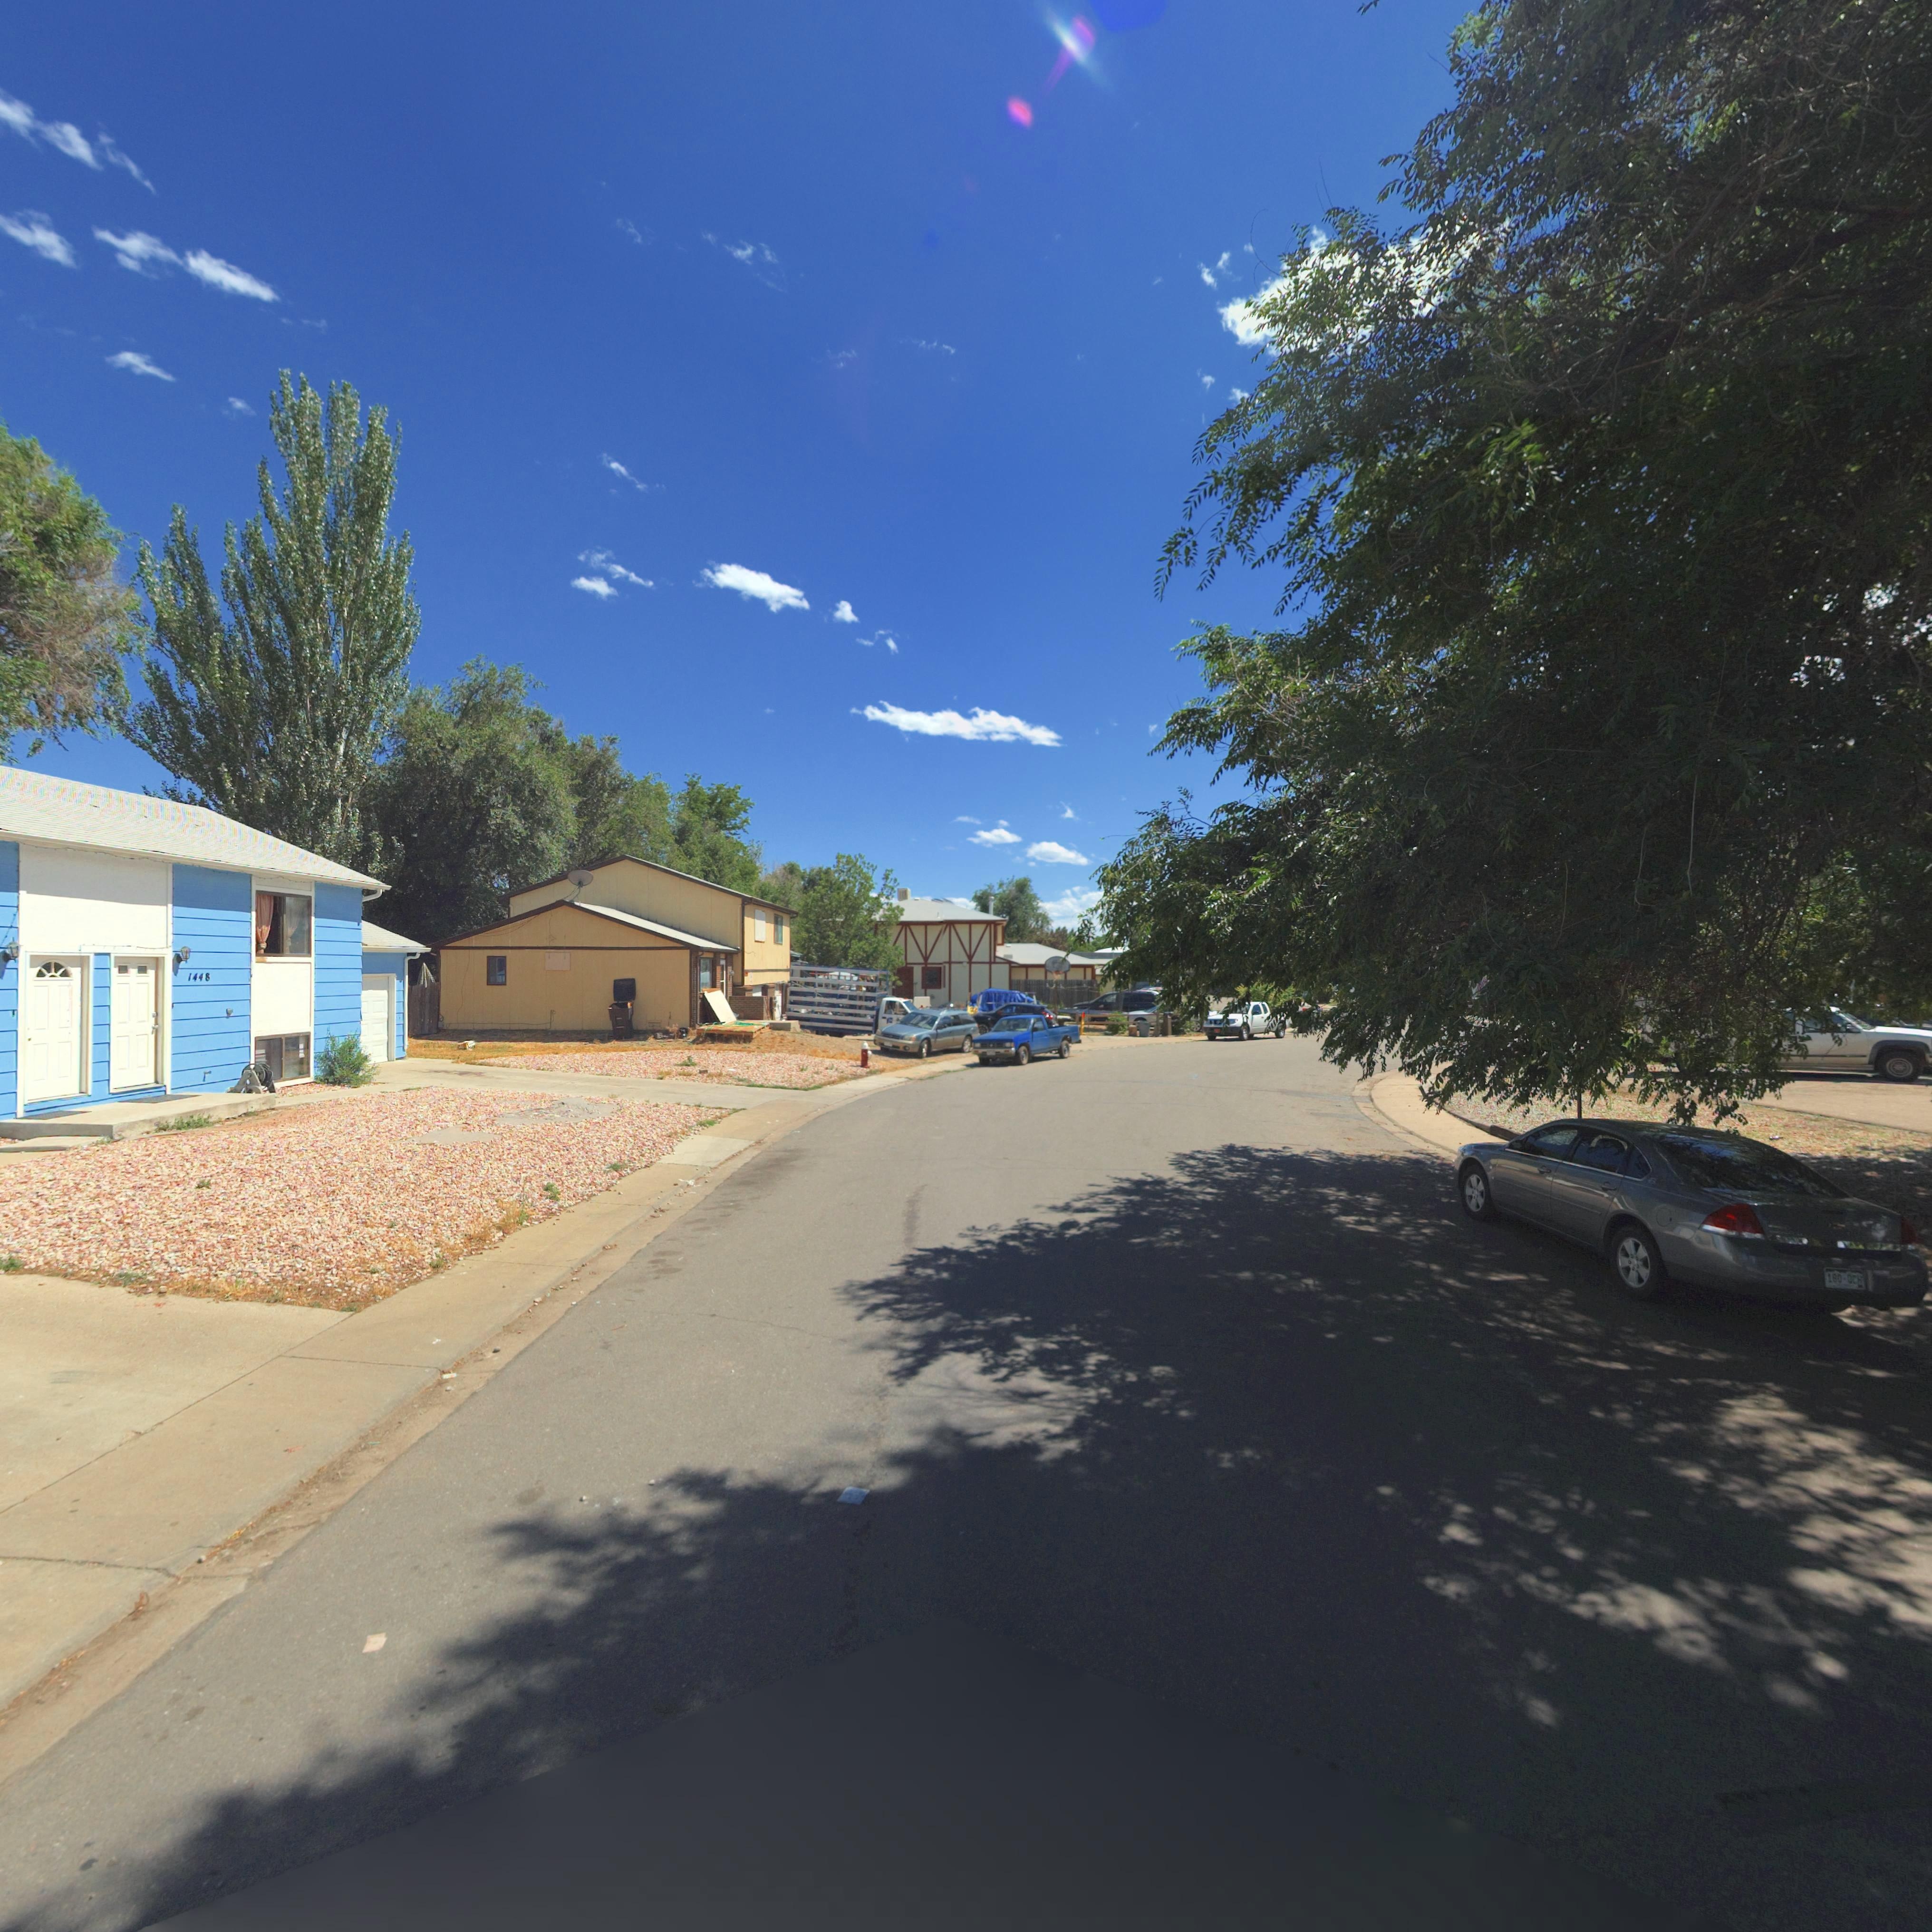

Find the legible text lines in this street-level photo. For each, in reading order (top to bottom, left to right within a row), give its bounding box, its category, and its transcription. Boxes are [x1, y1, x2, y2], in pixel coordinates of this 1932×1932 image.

[187, 971, 211, 982] StreetNumber: 1448